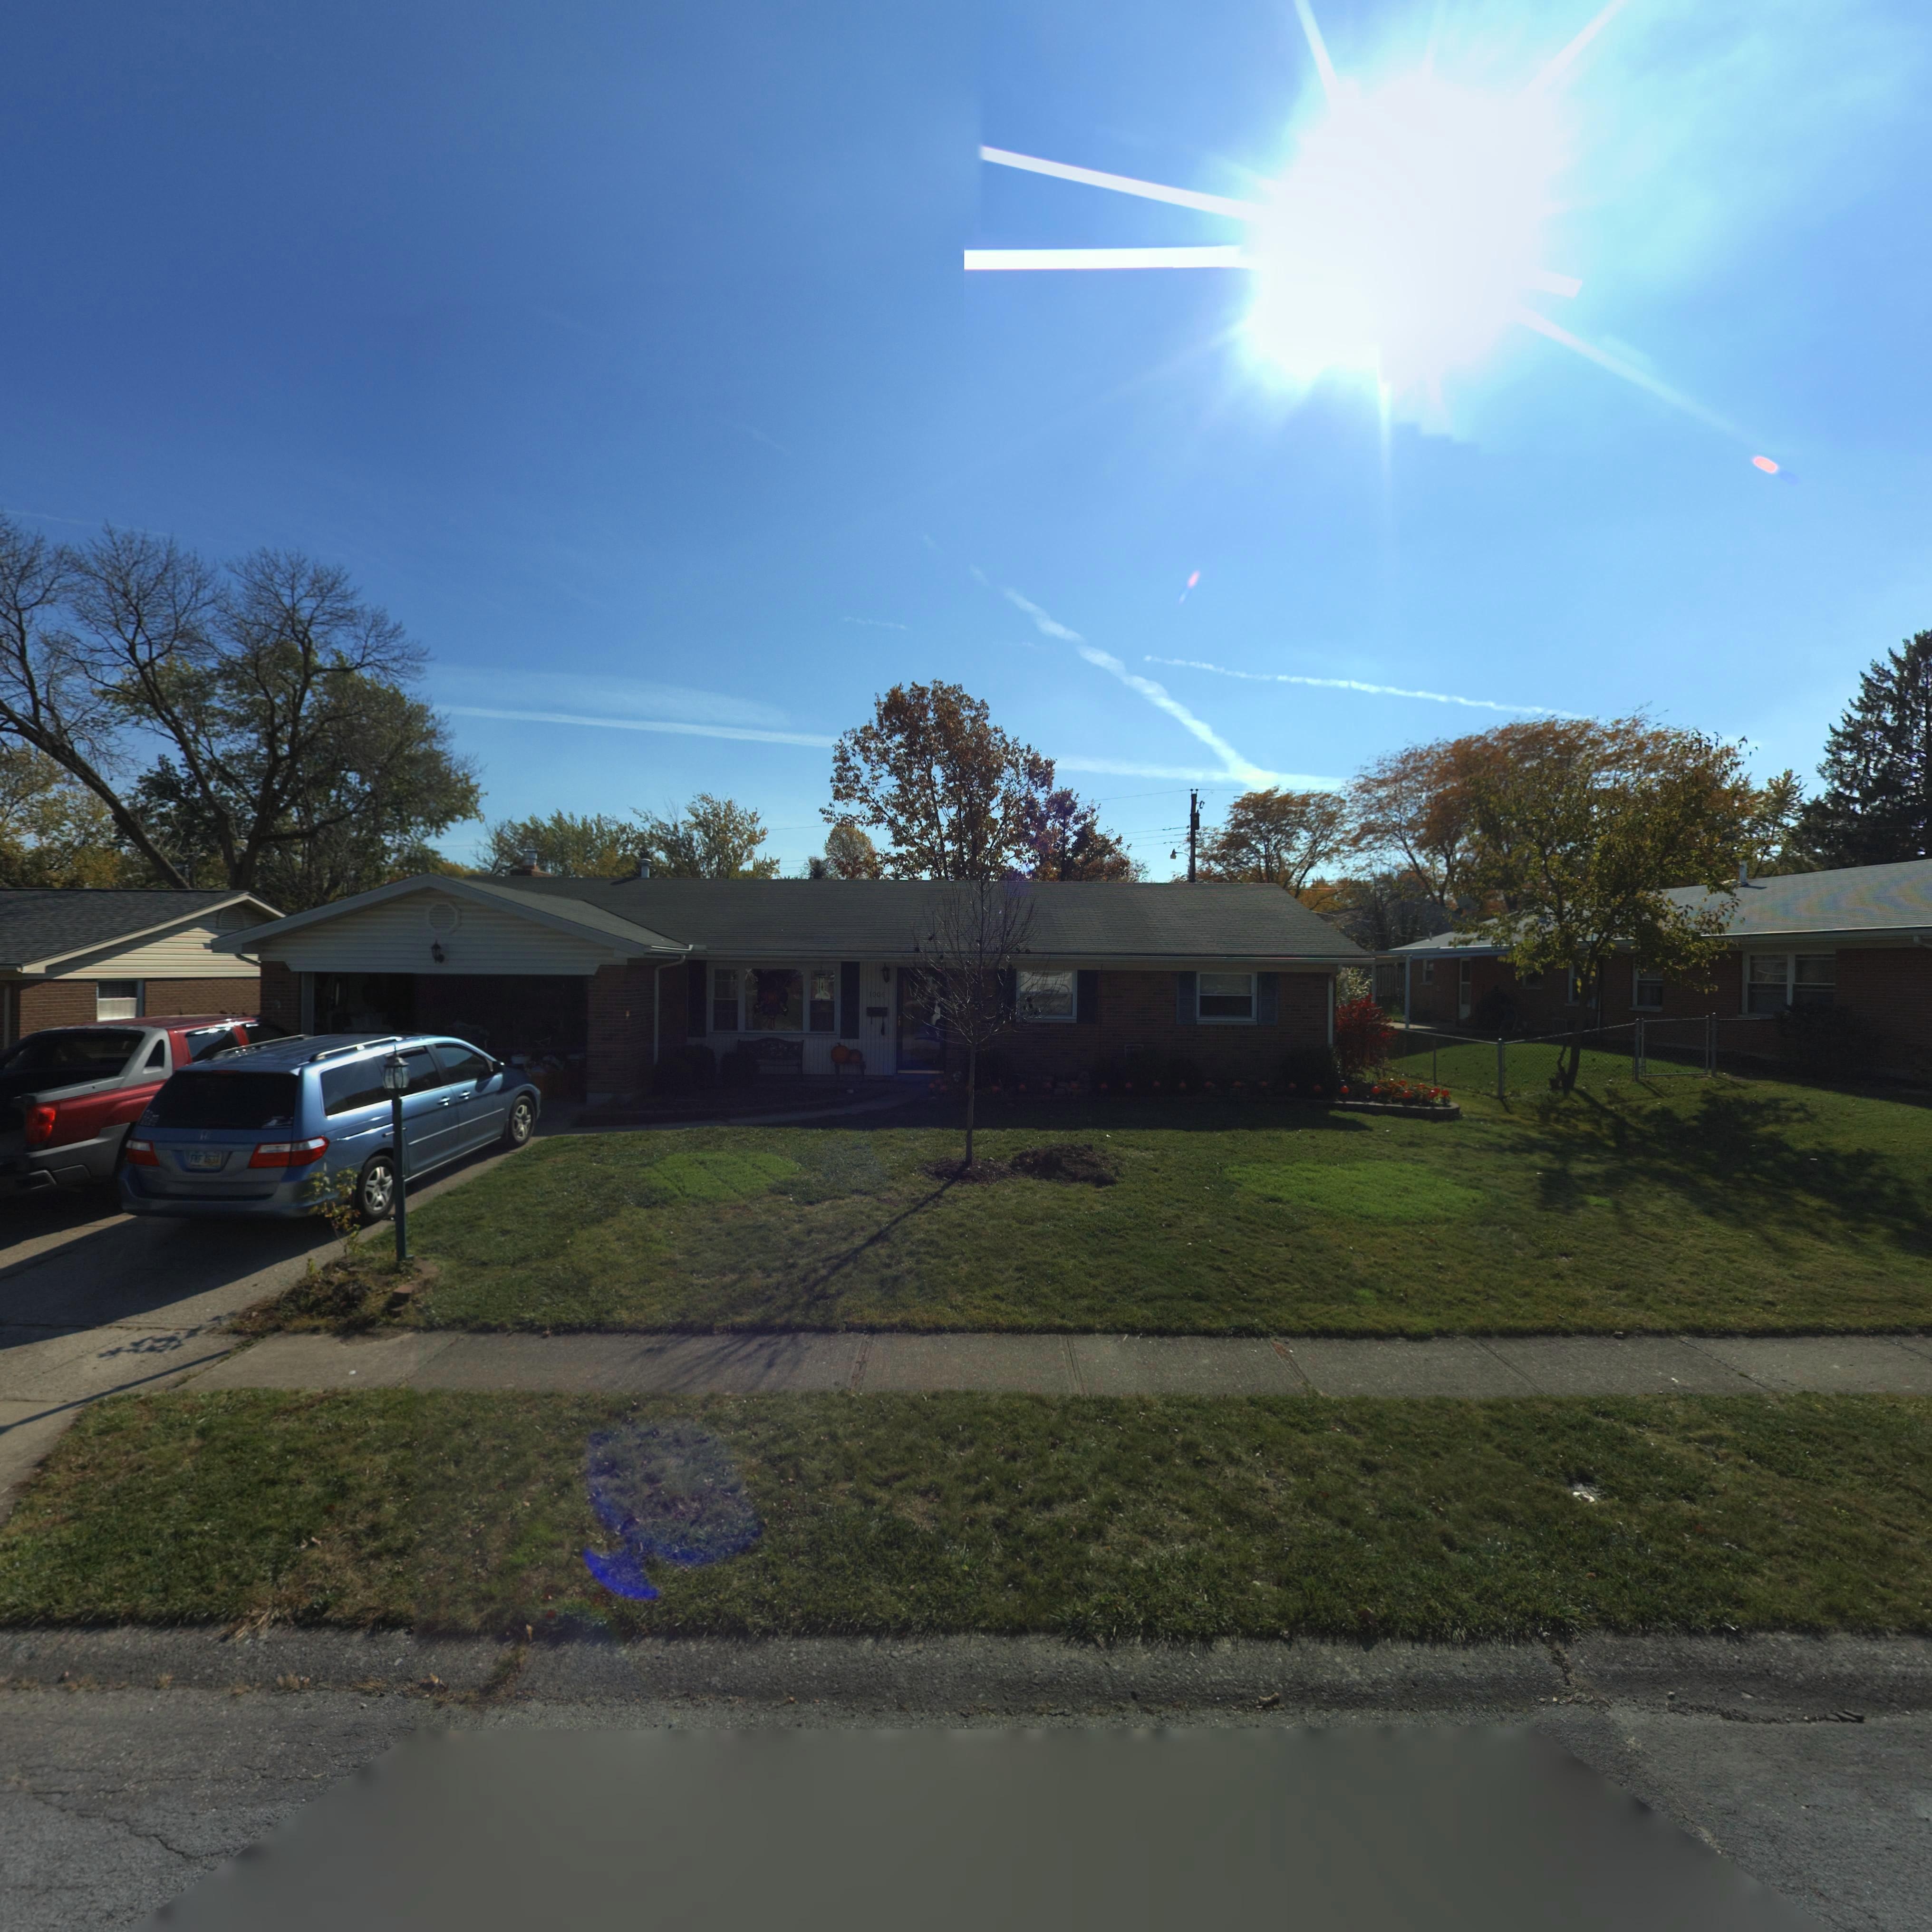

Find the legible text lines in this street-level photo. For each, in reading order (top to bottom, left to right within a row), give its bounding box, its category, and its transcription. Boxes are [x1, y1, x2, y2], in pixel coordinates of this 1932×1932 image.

[869, 991, 886, 997] StreetNumber: 1006